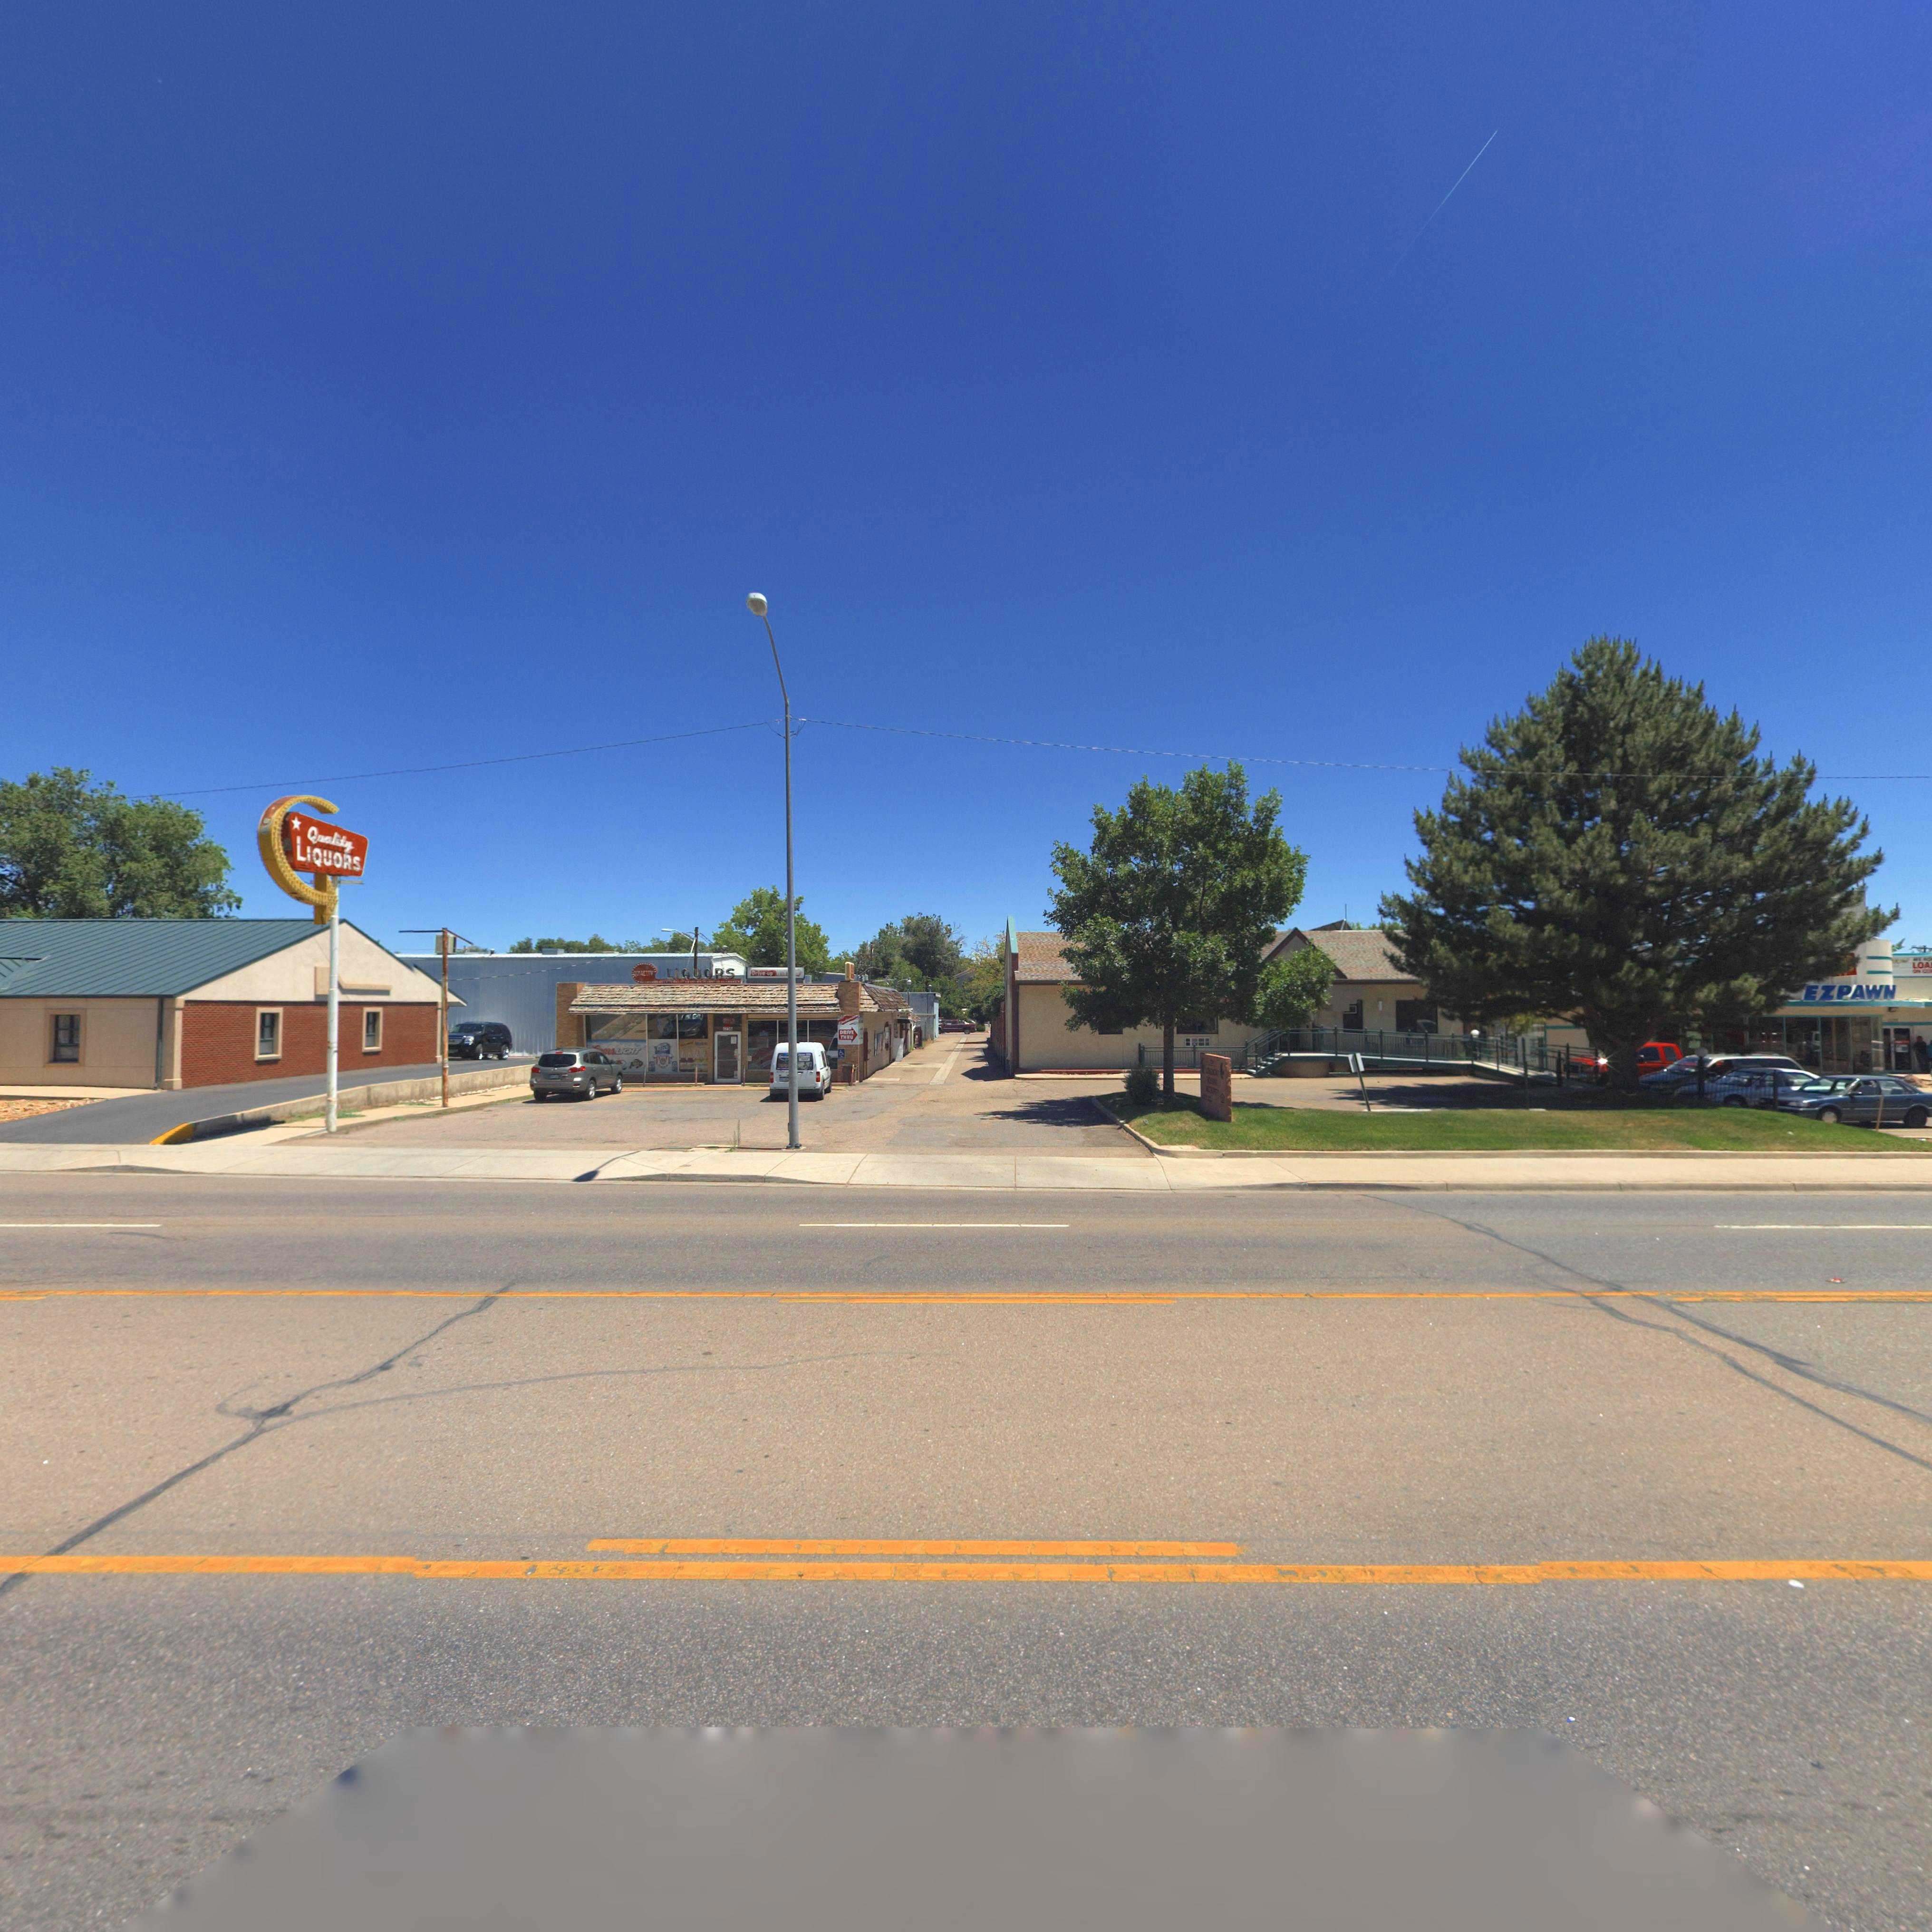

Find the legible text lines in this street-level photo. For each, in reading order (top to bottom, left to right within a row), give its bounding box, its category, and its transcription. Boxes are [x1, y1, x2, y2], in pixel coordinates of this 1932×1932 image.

[306, 825, 355, 853] BusinessName: Quality
[296, 834, 361, 871] BusinessName: LIQUORS
[632, 970, 654, 977] BusinessName: QUALITY
[666, 967, 734, 979] BusinessName: LIQUORS
[1802, 984, 1896, 1000] BusinessName: EZPAWN
[722, 1026, 732, 1031] StreetNumber: **36